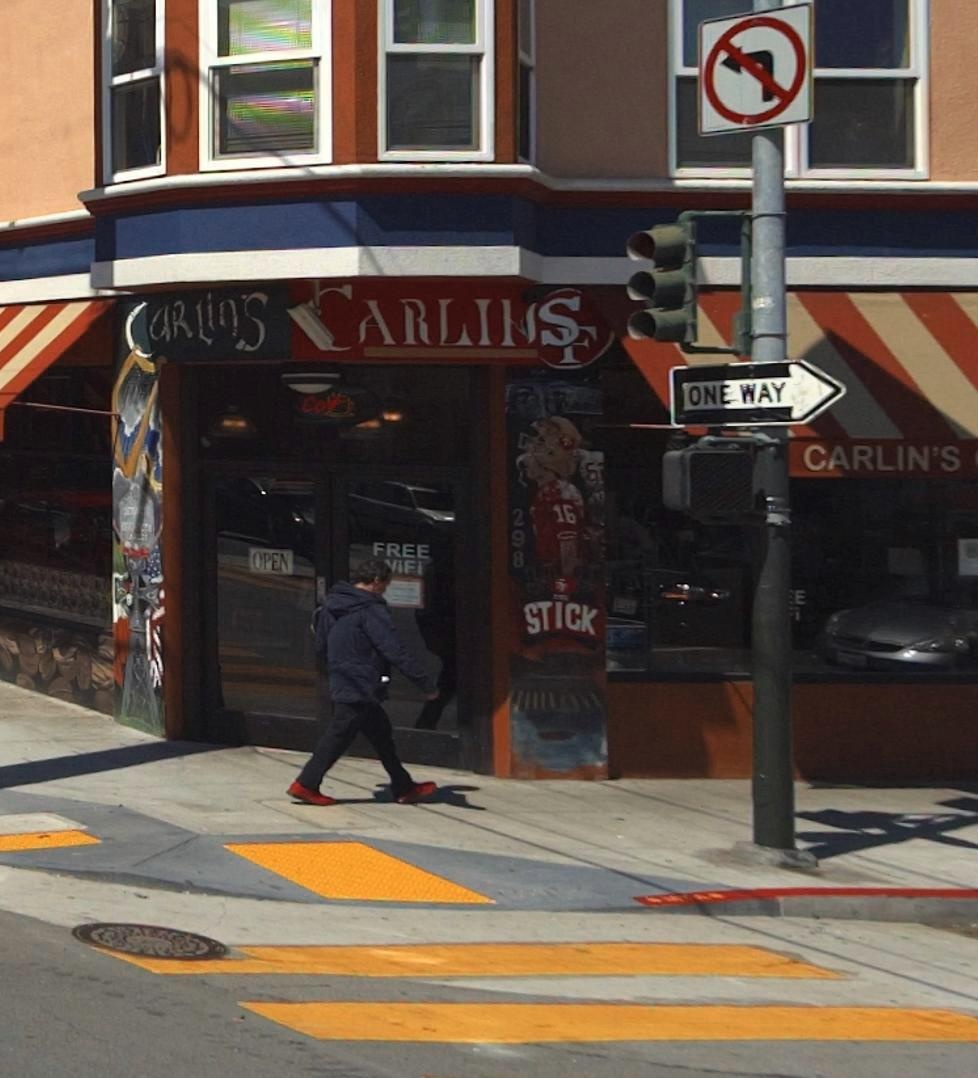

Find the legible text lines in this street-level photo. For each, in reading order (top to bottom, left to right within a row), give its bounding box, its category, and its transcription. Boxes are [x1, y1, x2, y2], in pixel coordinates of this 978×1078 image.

[121, 283, 540, 360] BusinessName: CaRLin'S CARLINSF
[686, 381, 788, 409] None: ONE WAY
[801, 442, 964, 474] BusinessName: CARLIN'S
[550, 502, 578, 526] None: 16
[251, 550, 292, 573] None: OPEN
[371, 541, 432, 560] None: FREE
[382, 558, 424, 576] None: *iFi
[510, 507, 526, 570] StreetNumber: 298
[794, 589, 807, 606] None: E
[522, 600, 600, 638] None: STICK